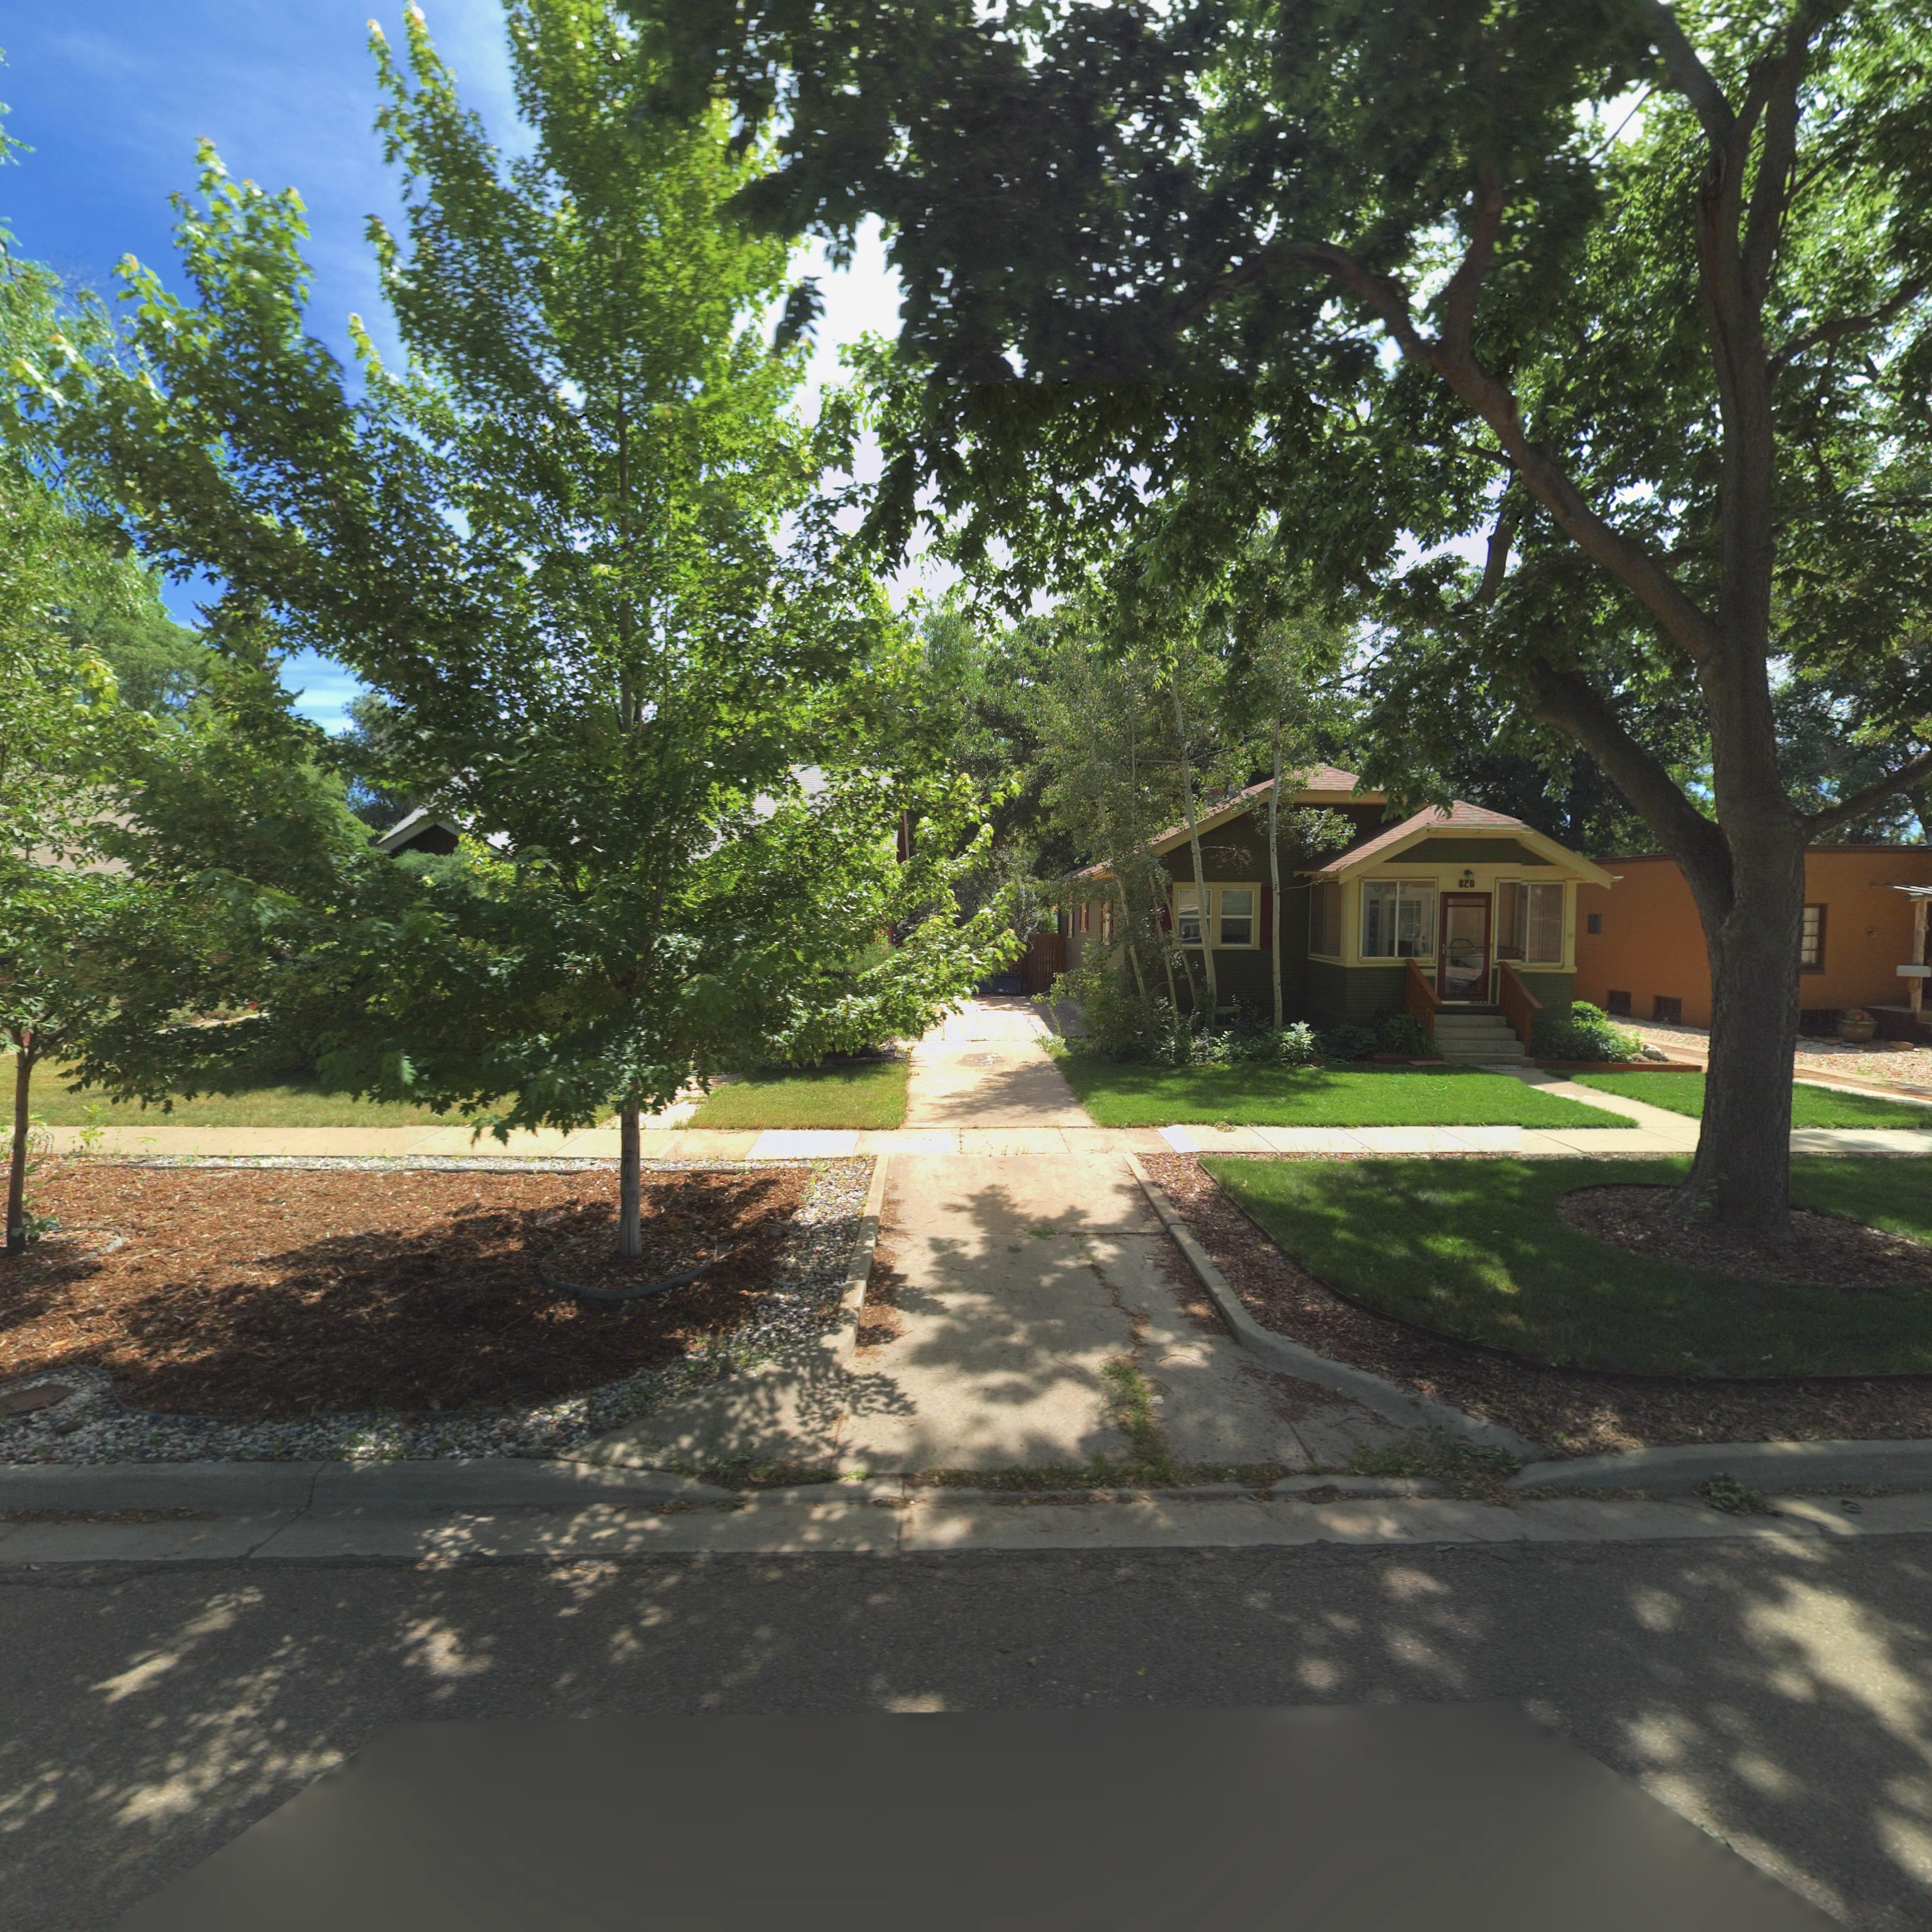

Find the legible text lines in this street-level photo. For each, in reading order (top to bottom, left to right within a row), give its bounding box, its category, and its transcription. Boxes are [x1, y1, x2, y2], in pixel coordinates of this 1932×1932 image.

[1458, 879, 1475, 888] StreetNumber: 820